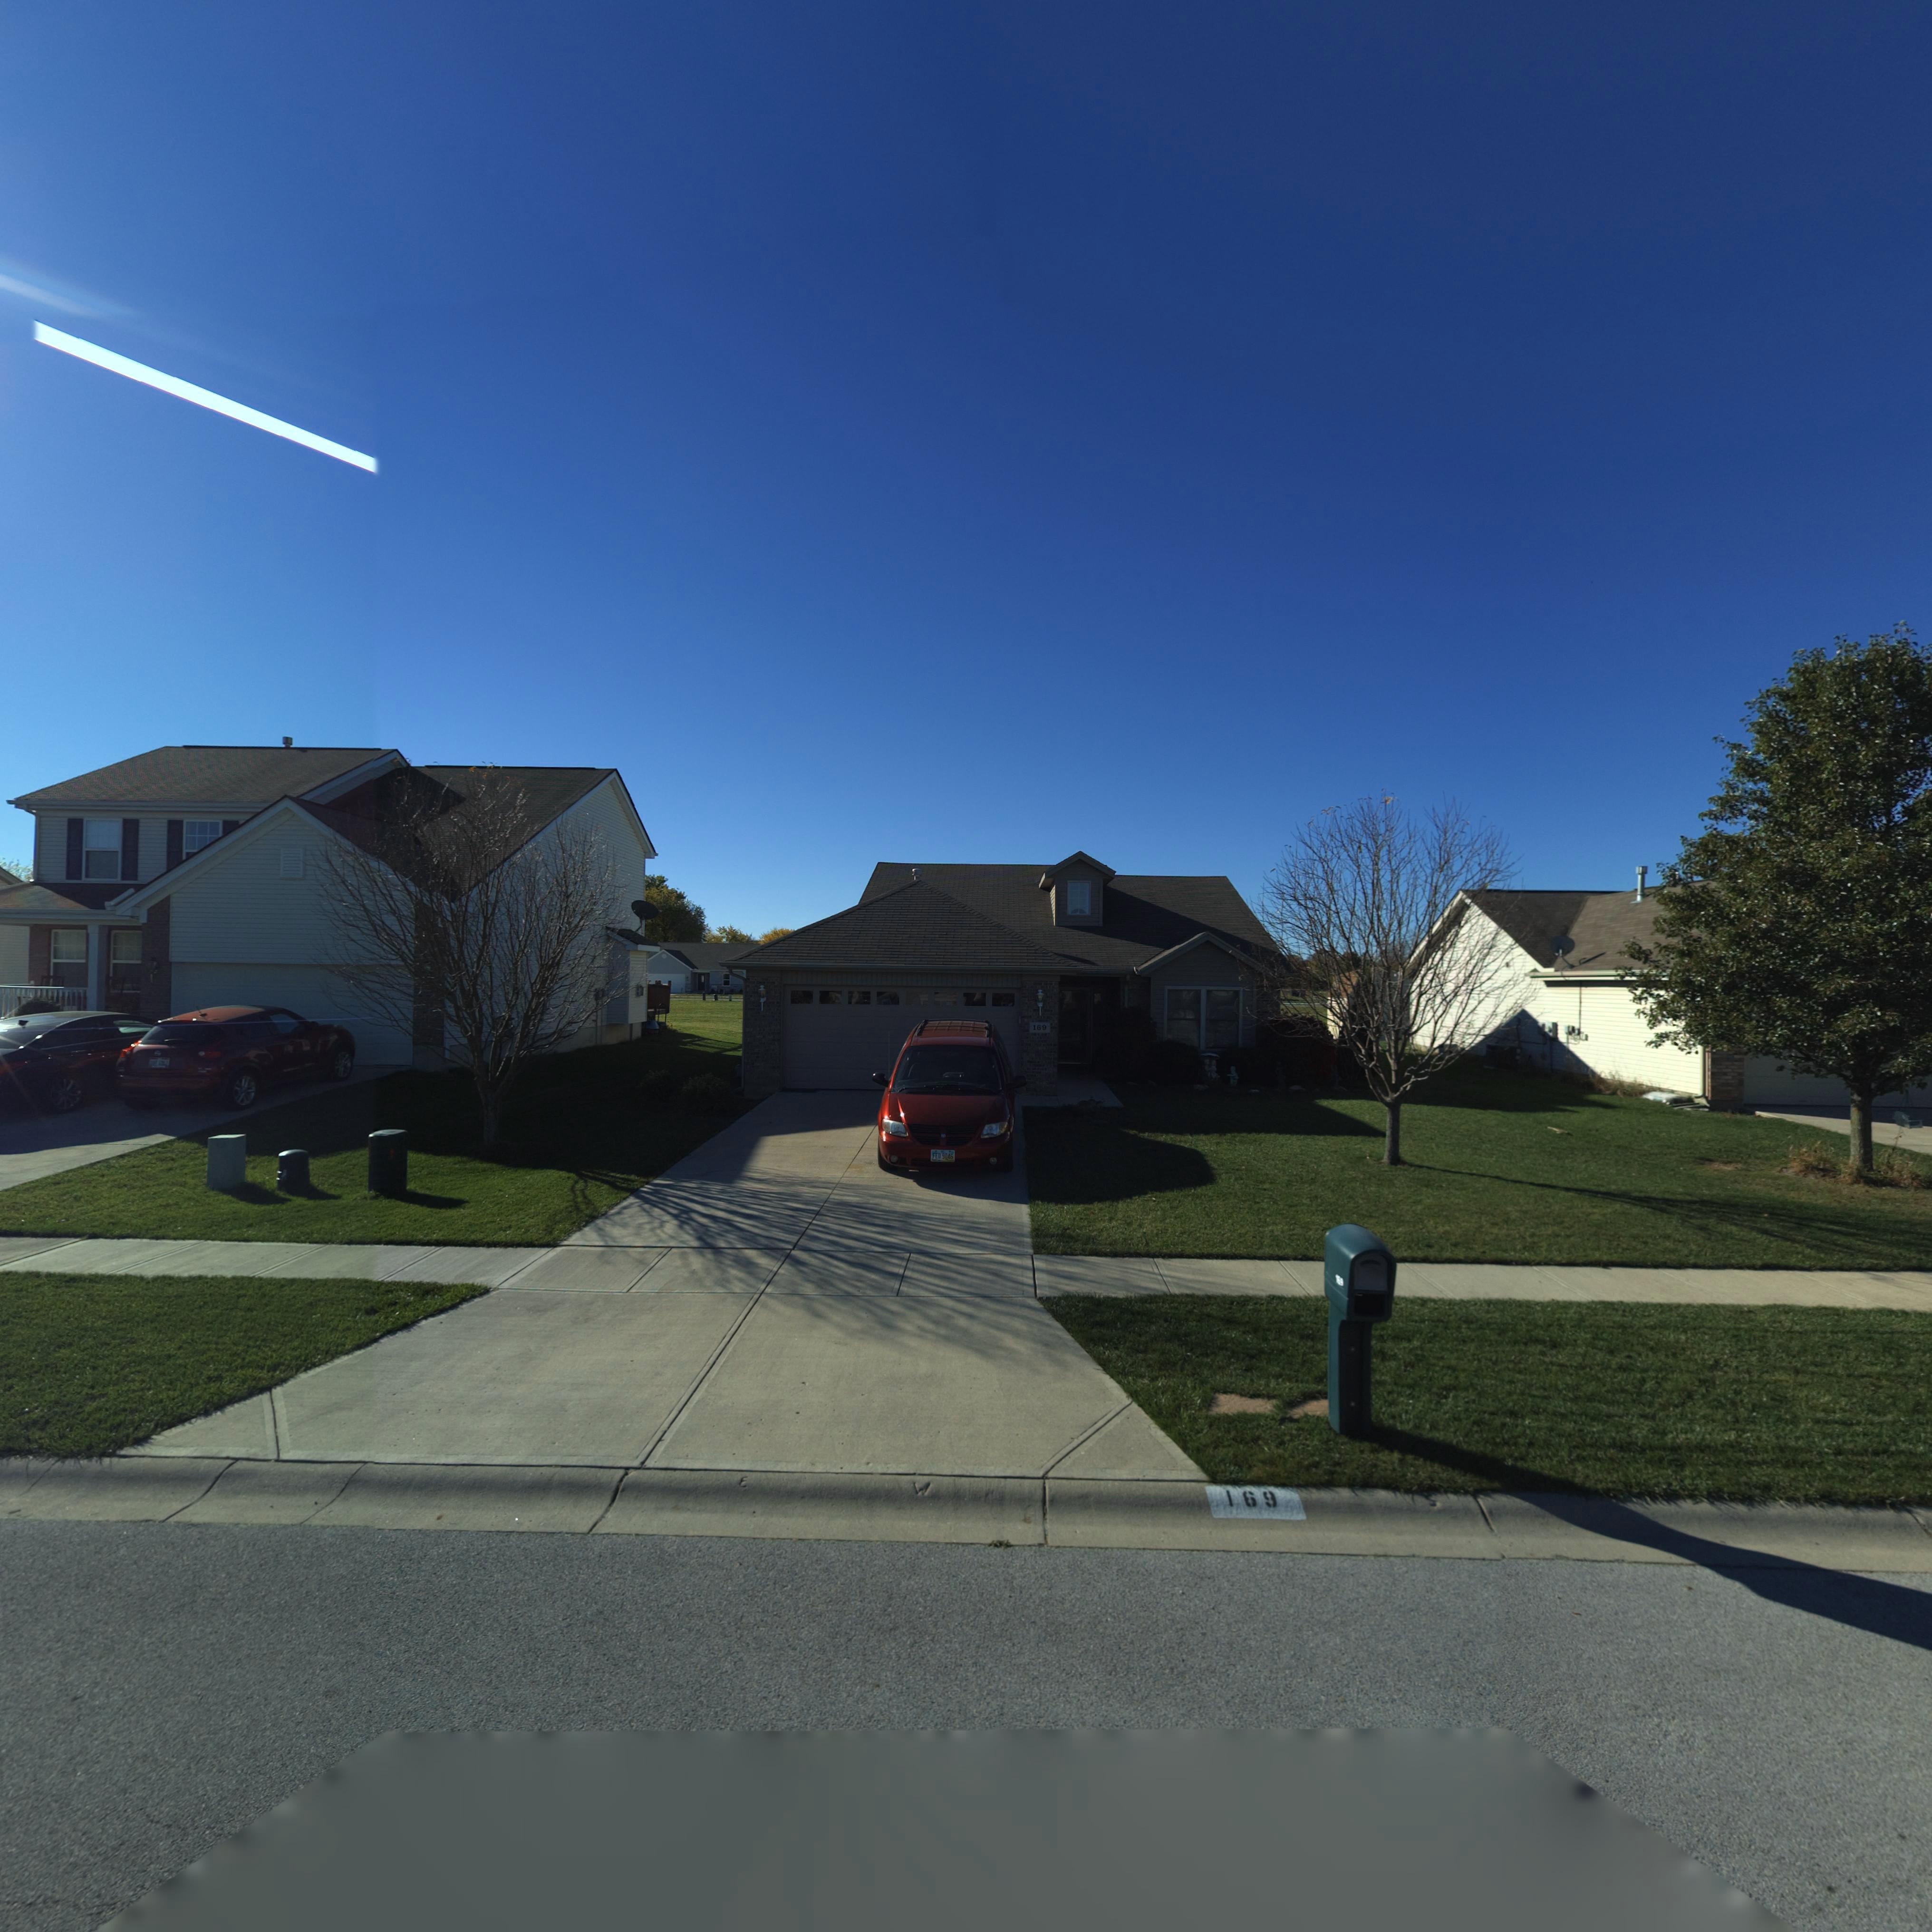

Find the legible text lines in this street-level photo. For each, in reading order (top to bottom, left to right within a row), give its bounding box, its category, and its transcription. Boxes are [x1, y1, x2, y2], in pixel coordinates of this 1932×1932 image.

[1032, 1024, 1047, 1031] StreetNumber: 169
[1335, 1273, 1344, 1288] StreetNumber: 169
[1224, 1489, 1282, 1508] StreetNumber: 169